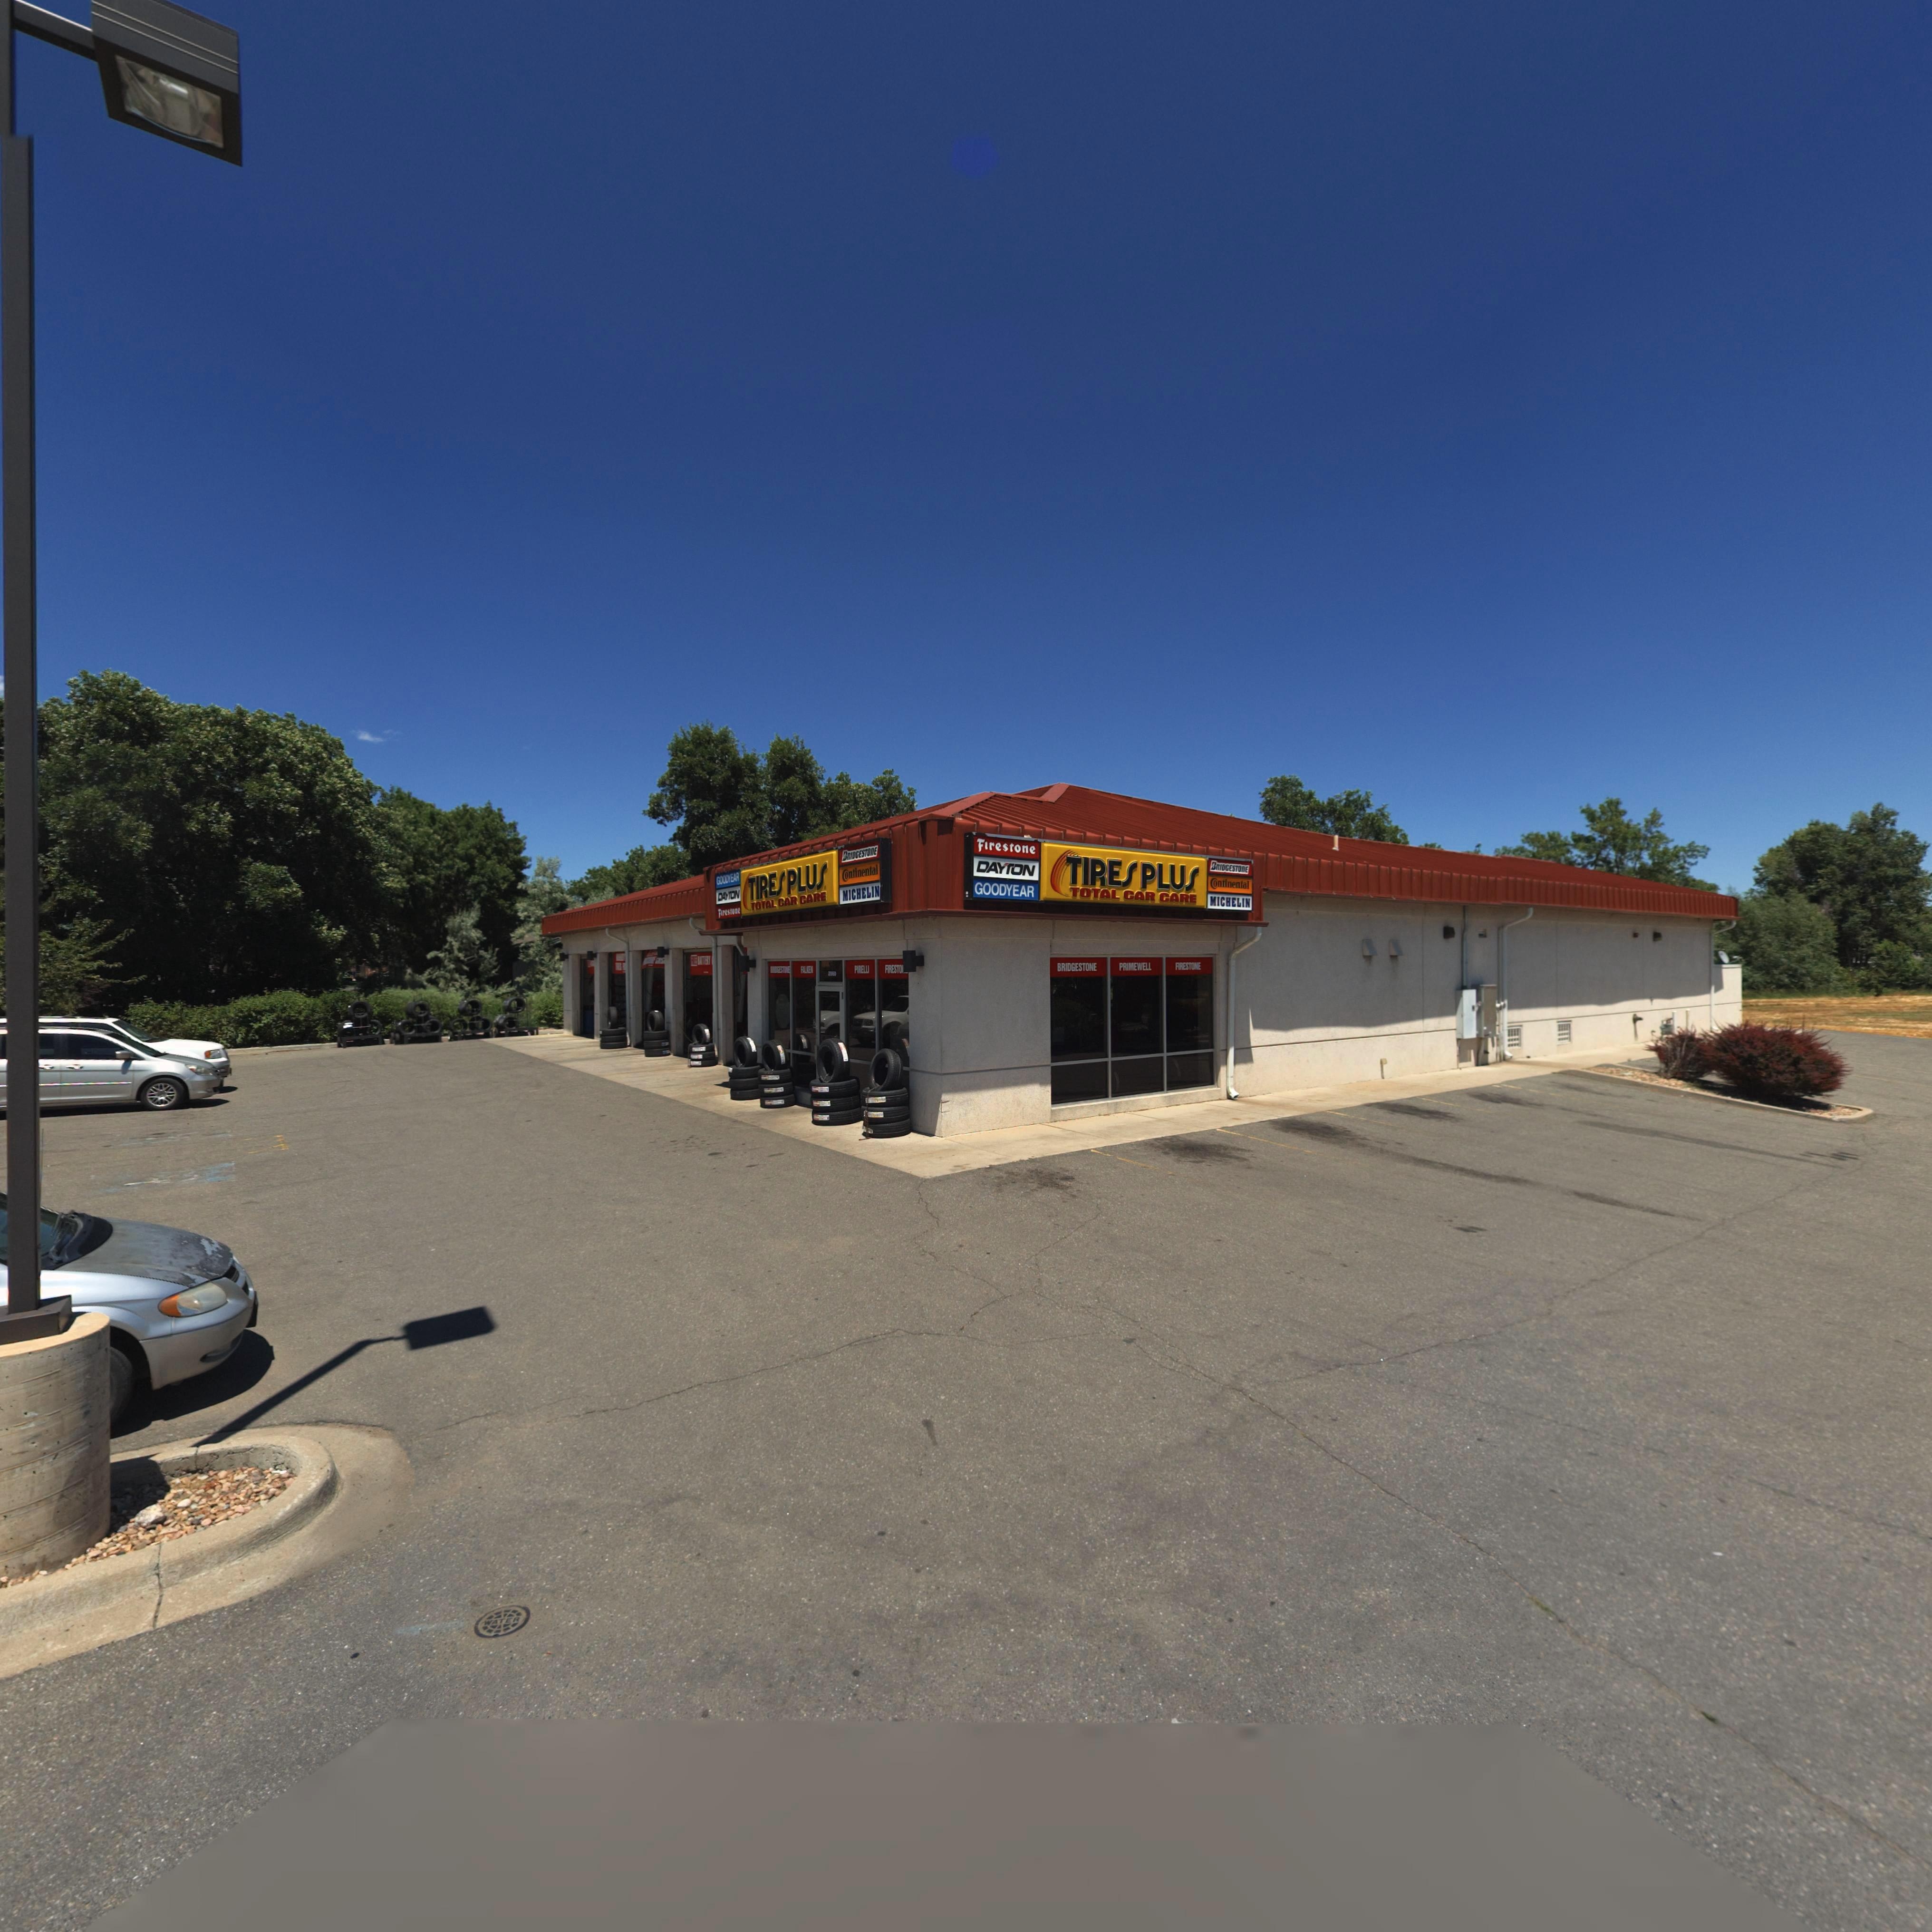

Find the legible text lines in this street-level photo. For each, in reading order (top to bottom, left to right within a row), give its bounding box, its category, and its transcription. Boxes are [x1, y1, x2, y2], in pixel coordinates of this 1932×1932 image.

[1066, 855, 1200, 891] BusinessName: TIRES PLUS
[828, 971, 837, 976] StreetNumber: 2060